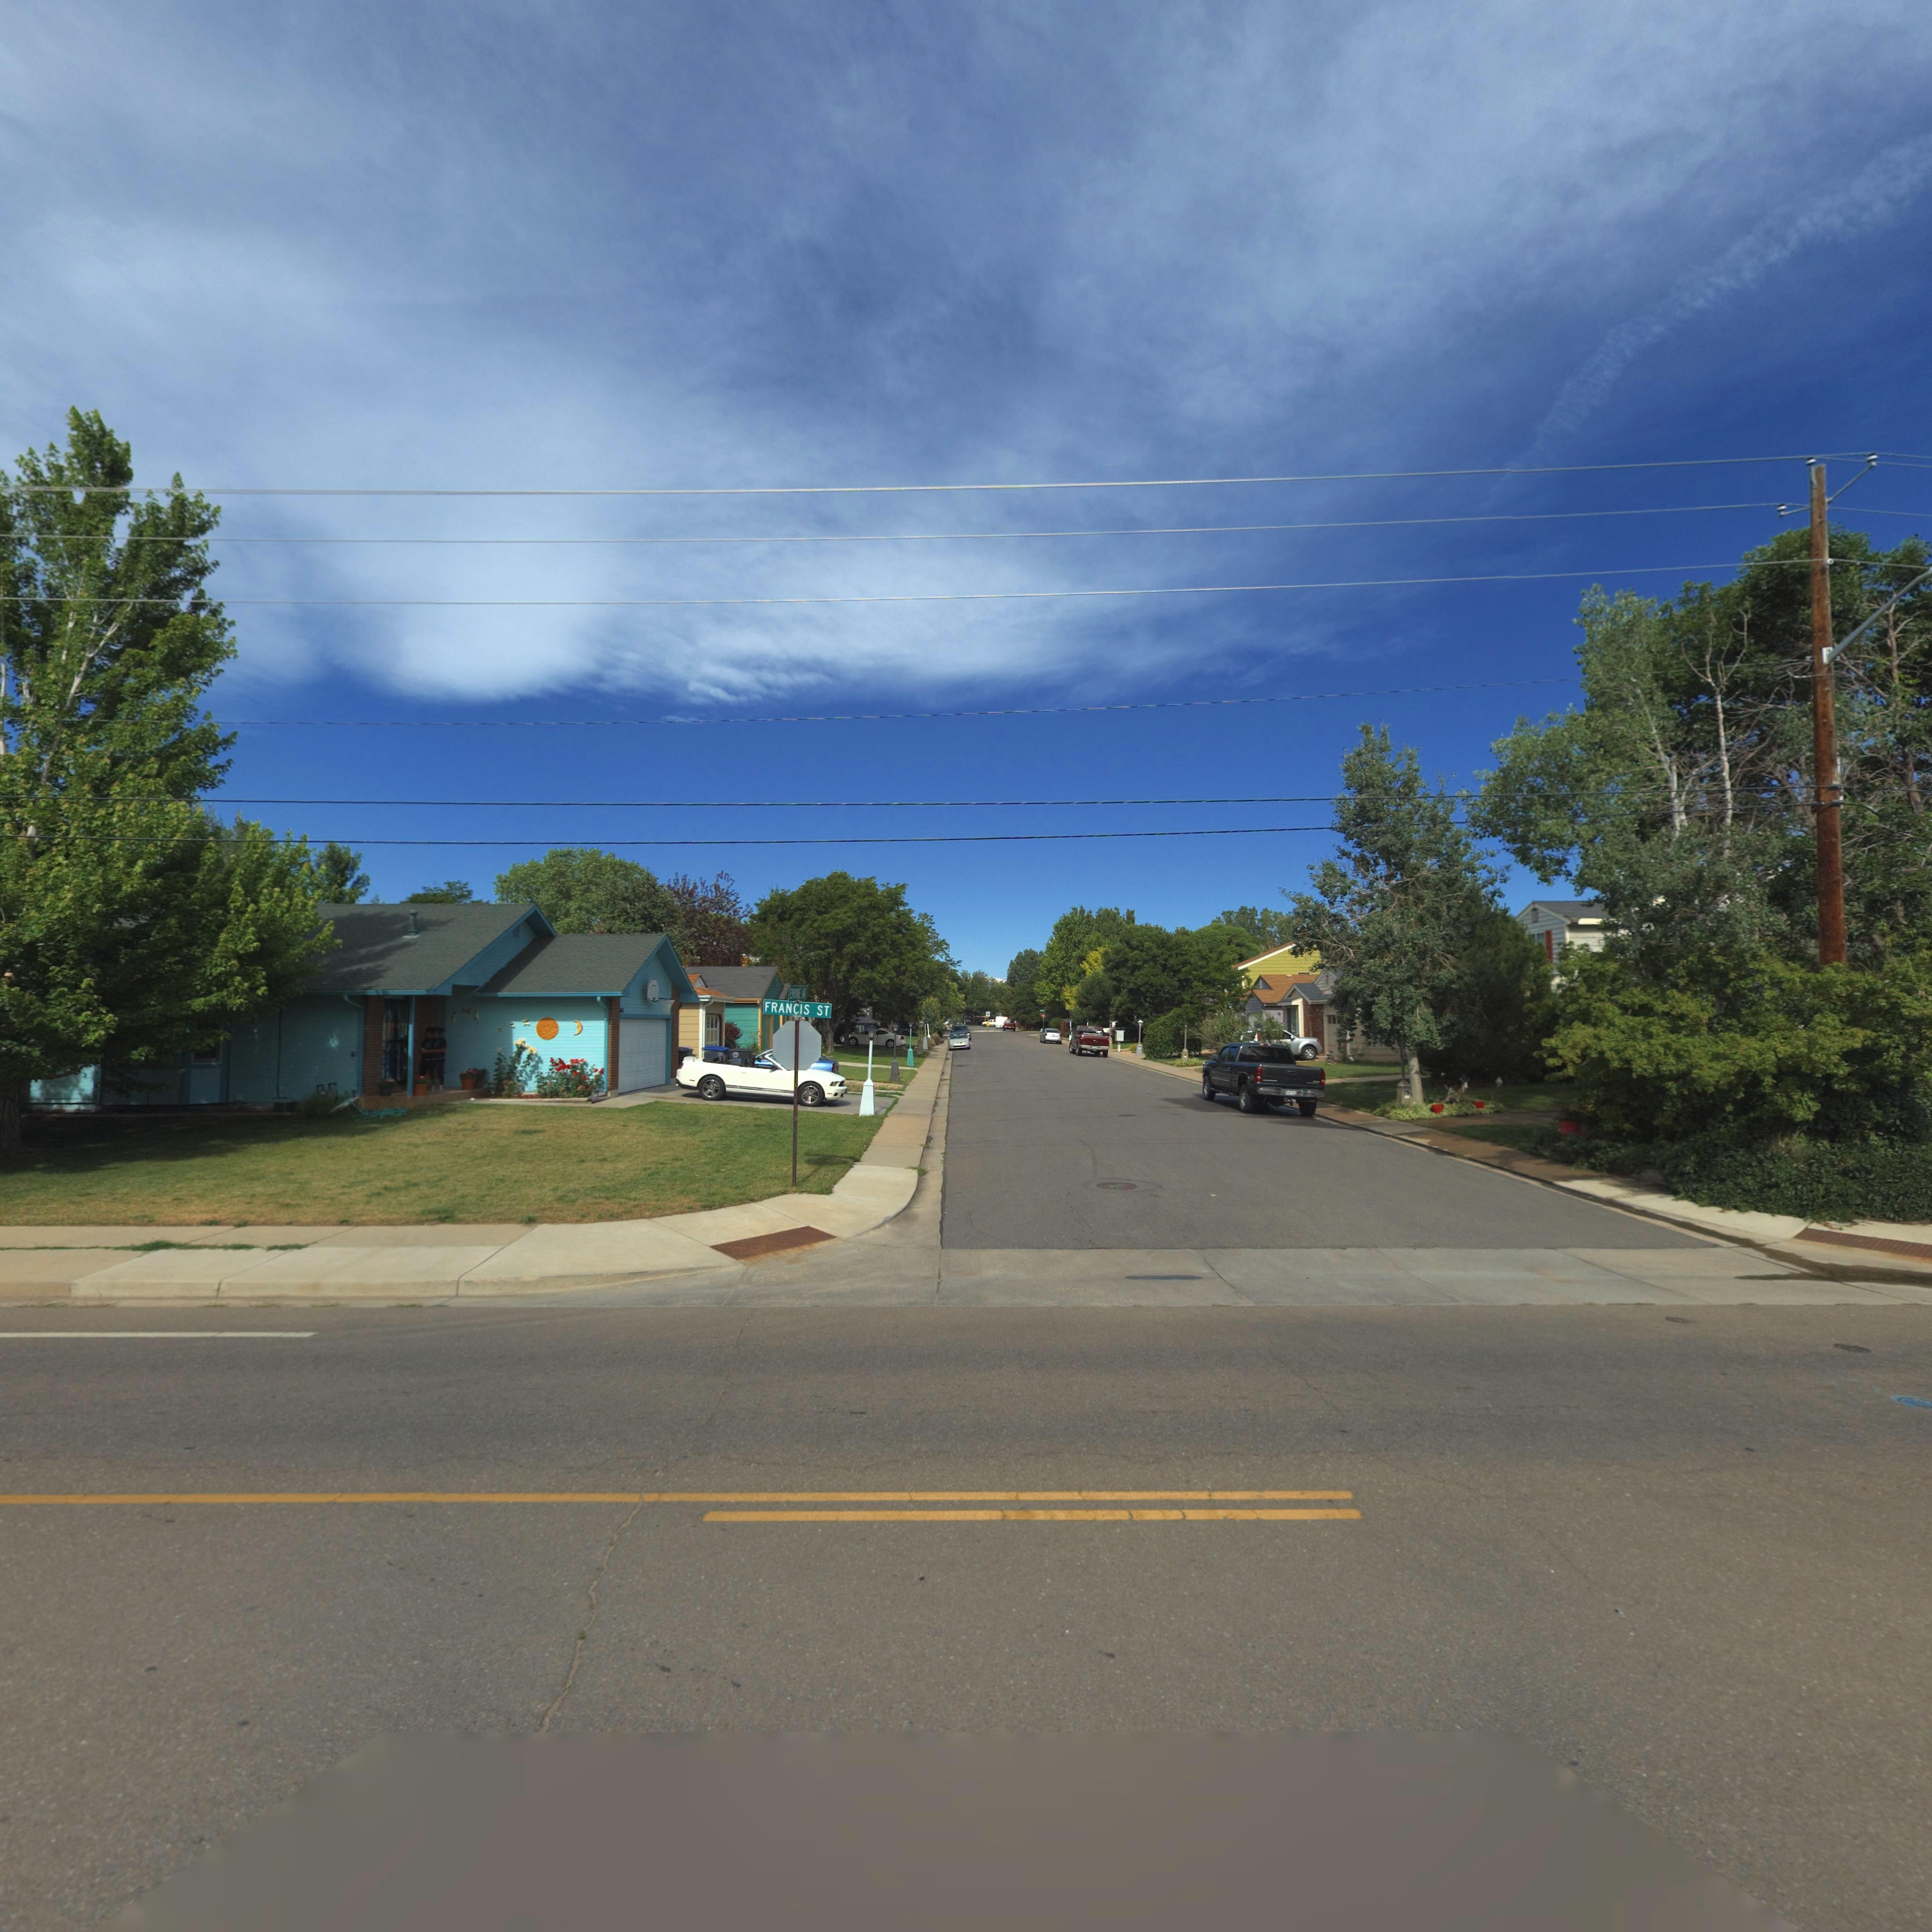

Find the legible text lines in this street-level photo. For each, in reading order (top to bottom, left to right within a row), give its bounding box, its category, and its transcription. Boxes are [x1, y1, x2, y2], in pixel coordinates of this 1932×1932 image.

[790, 987, 806, 999] StreetName: ERVINE AV
[764, 1001, 830, 1016] StreetName: FRANCIS ST